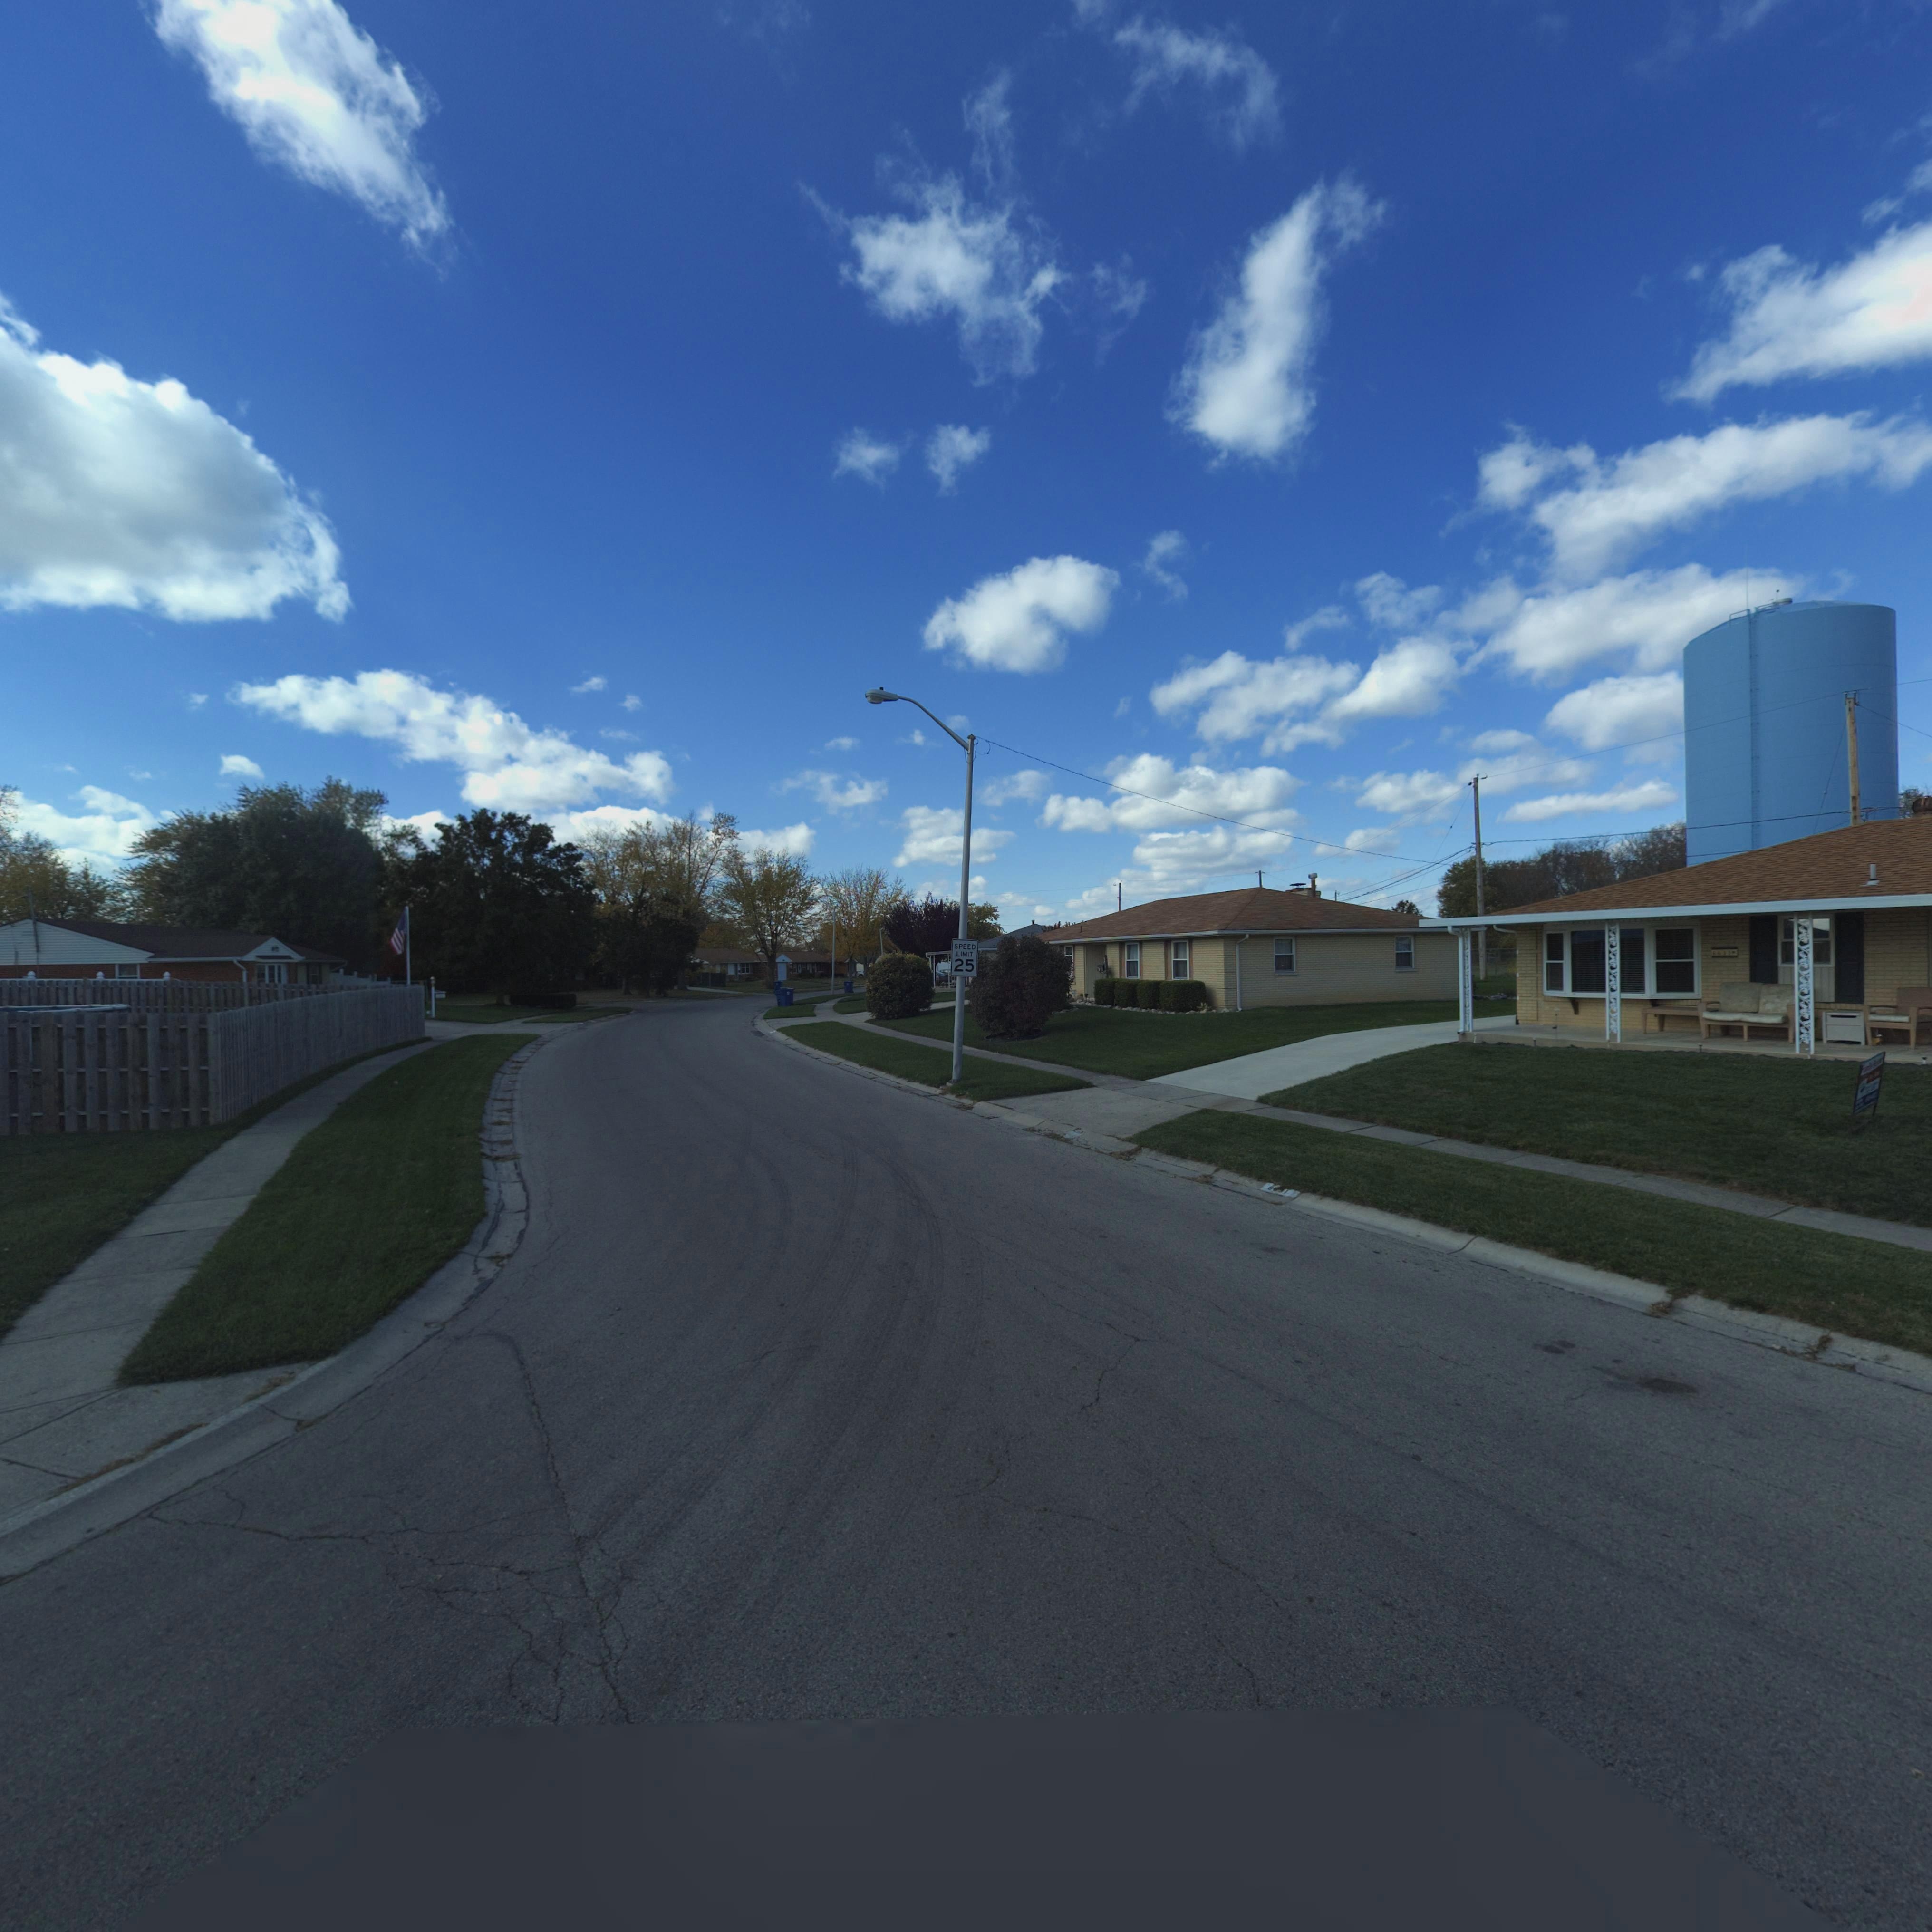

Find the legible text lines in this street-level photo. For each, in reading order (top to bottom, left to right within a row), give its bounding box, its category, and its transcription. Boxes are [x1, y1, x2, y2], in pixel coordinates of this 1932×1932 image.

[1712, 950, 1731, 956] StreetNumber: 663*
[1266, 1184, 1289, 1195] StreetNumber: ***1